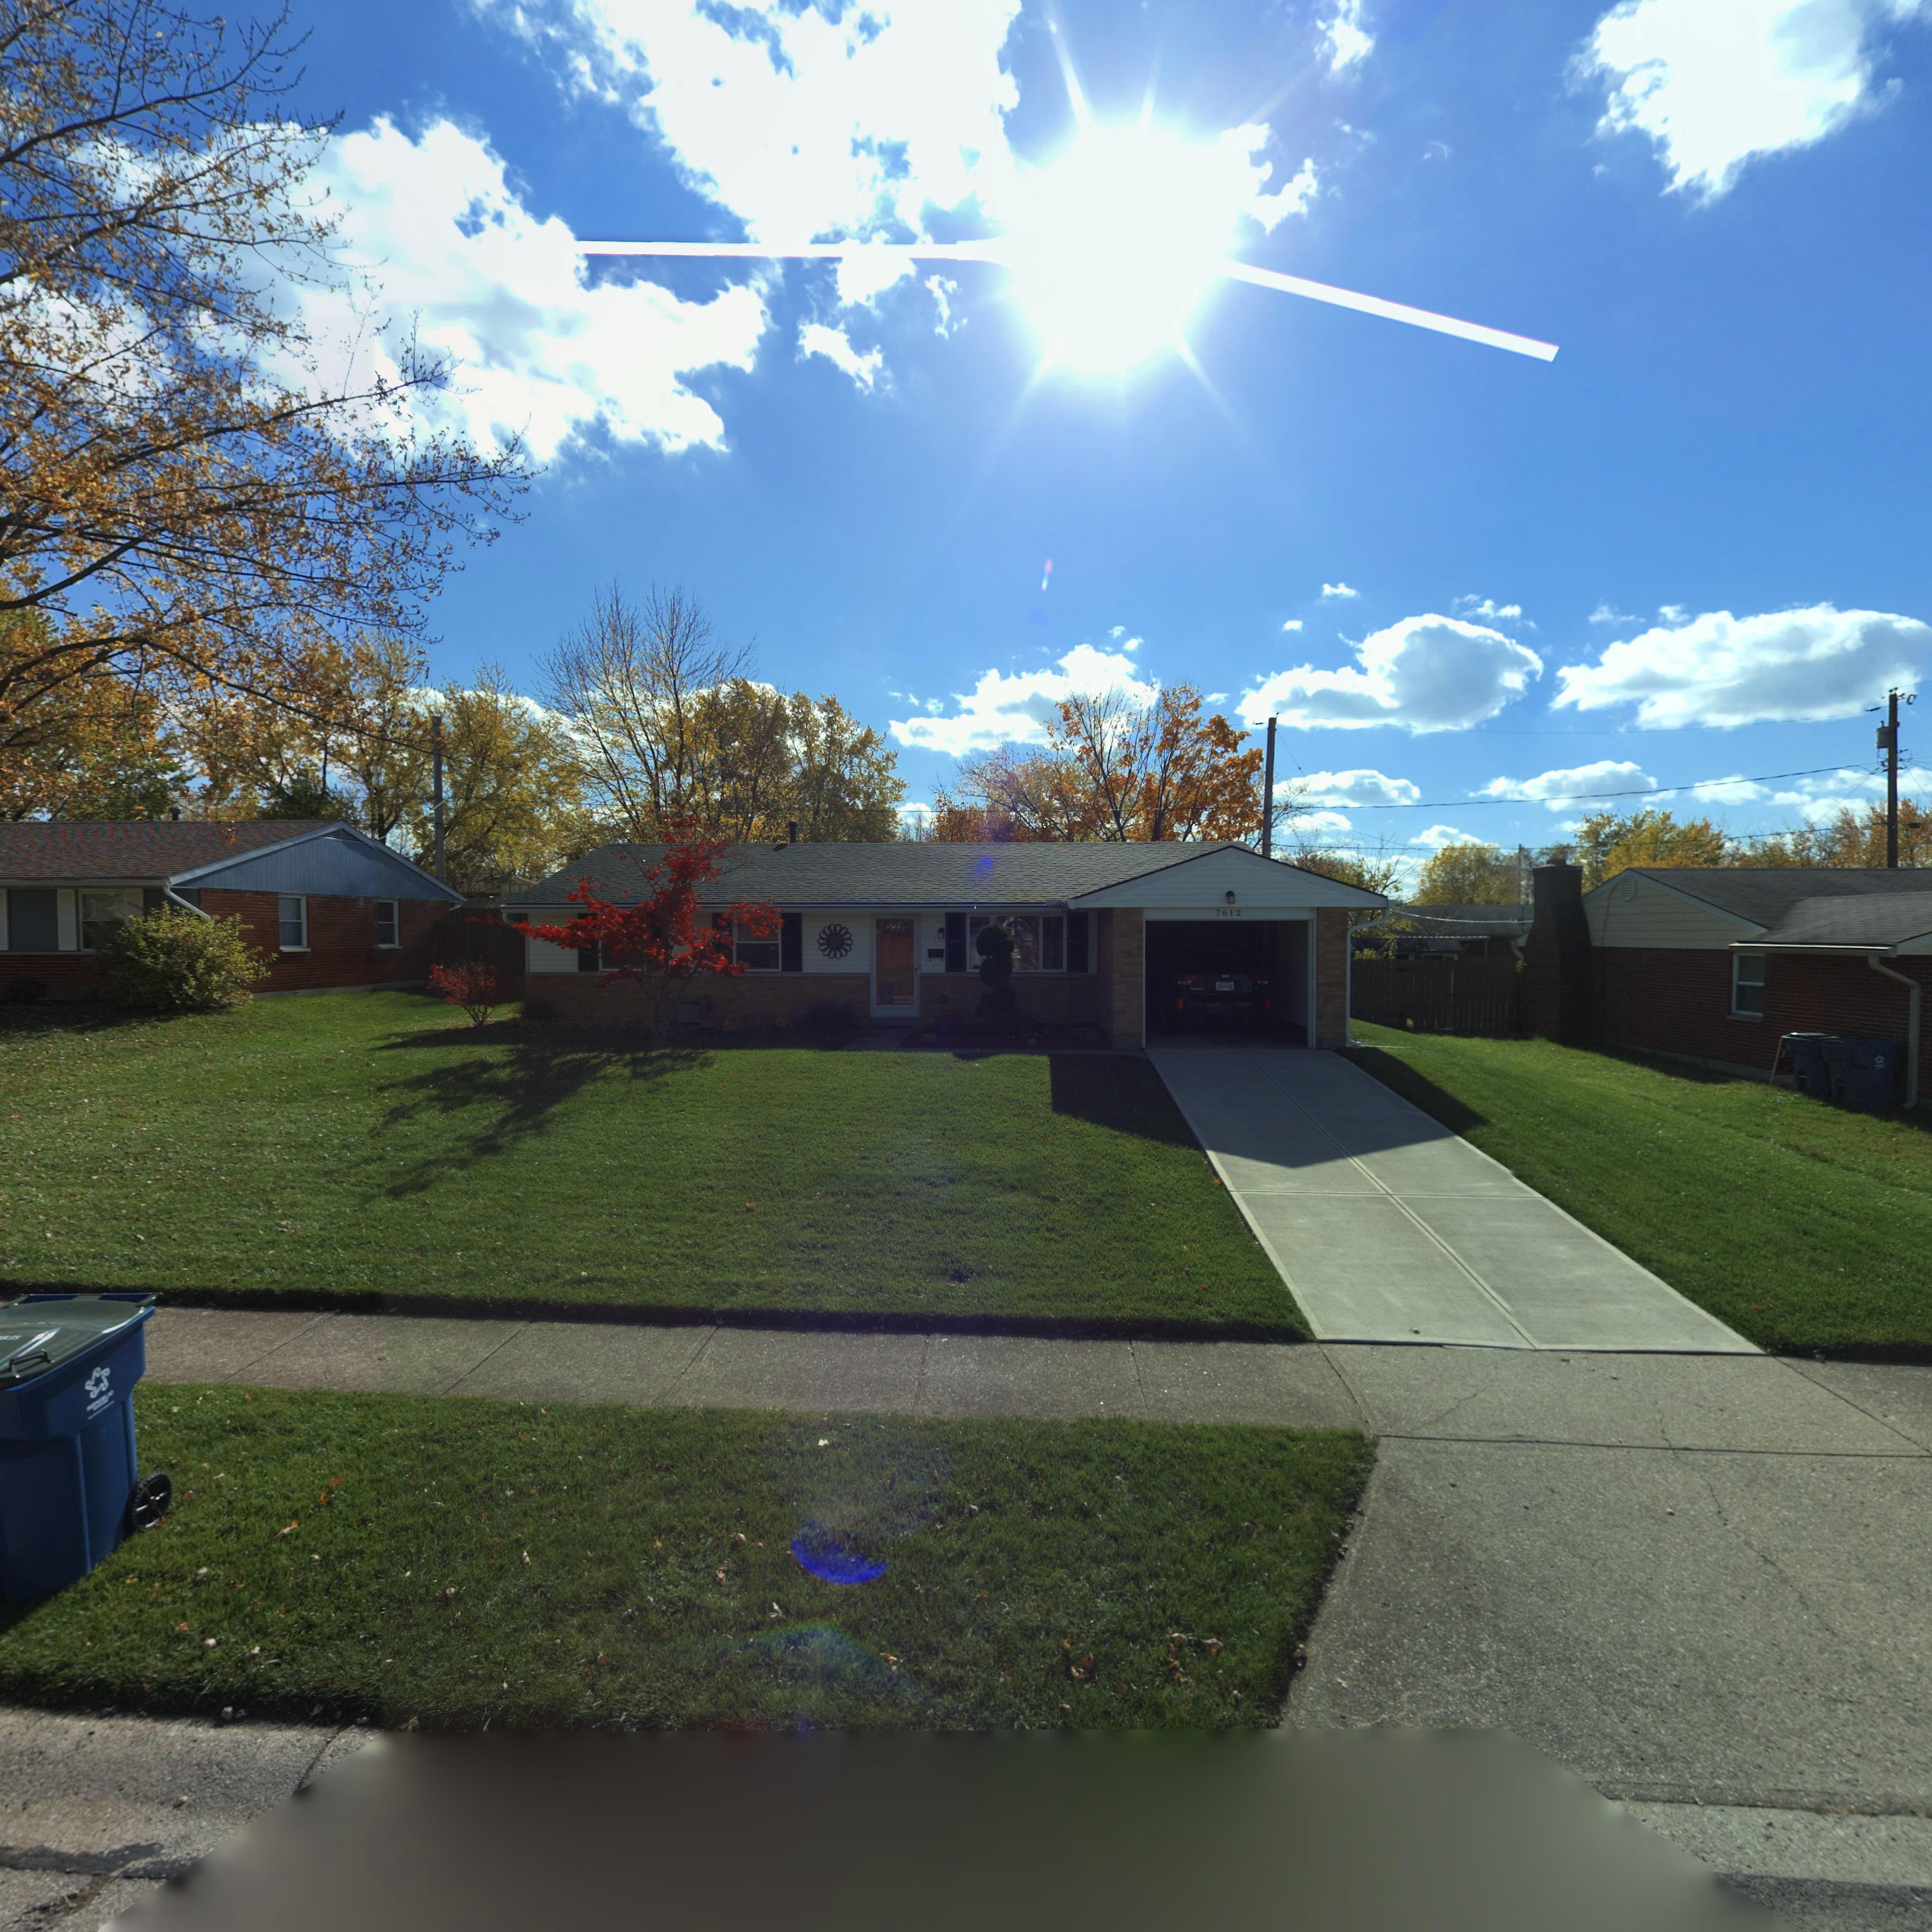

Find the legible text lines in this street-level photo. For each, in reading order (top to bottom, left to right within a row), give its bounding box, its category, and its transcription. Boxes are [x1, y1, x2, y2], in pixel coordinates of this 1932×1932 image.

[1215, 908, 1241, 917] StreetNumber: 7612